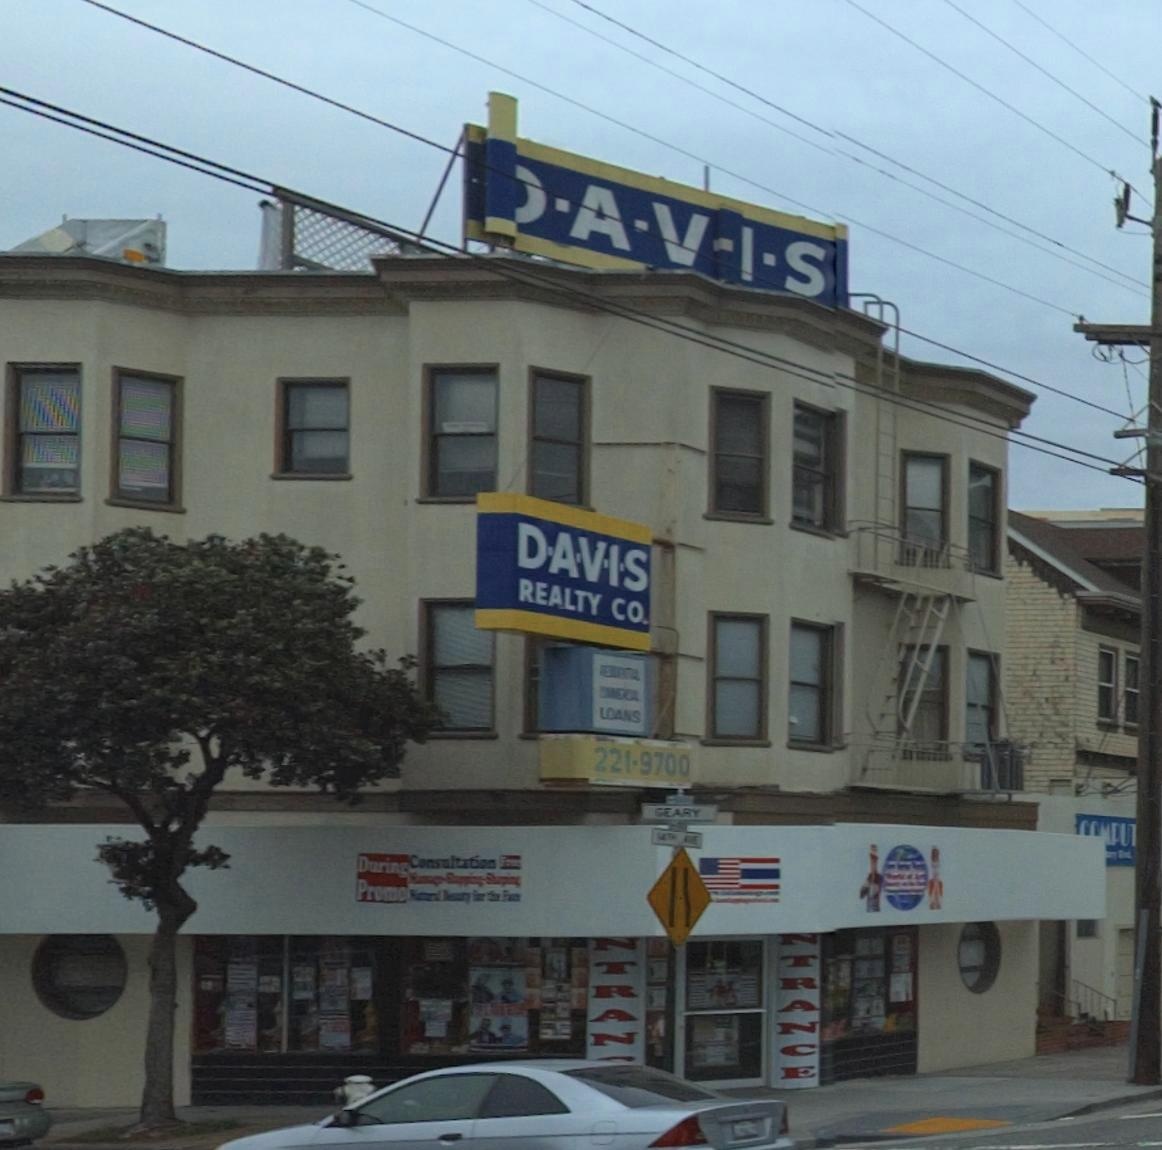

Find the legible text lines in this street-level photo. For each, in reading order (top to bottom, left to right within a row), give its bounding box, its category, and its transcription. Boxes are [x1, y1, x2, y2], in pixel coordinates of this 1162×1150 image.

[563, 176, 832, 310] BusinessName: AVIS
[514, 516, 650, 598] BusinessName: DAVIS
[516, 573, 651, 628] BusinessName: REALTY CO.
[597, 704, 643, 726] None: LOANS
[592, 743, 693, 782] None: 221-9700
[653, 806, 706, 820] StreetName: GEARY
[653, 830, 701, 848] StreetNumber: 14TH AVE
[1109, 819, 1134, 851] None: PU
[356, 854, 410, 880] None: During
[409, 852, 499, 872] None: Consultation
[354, 877, 409, 904] None: Promo
[586, 958, 642, 1050] None: TRAN
[773, 952, 822, 1083] None: TRANCE